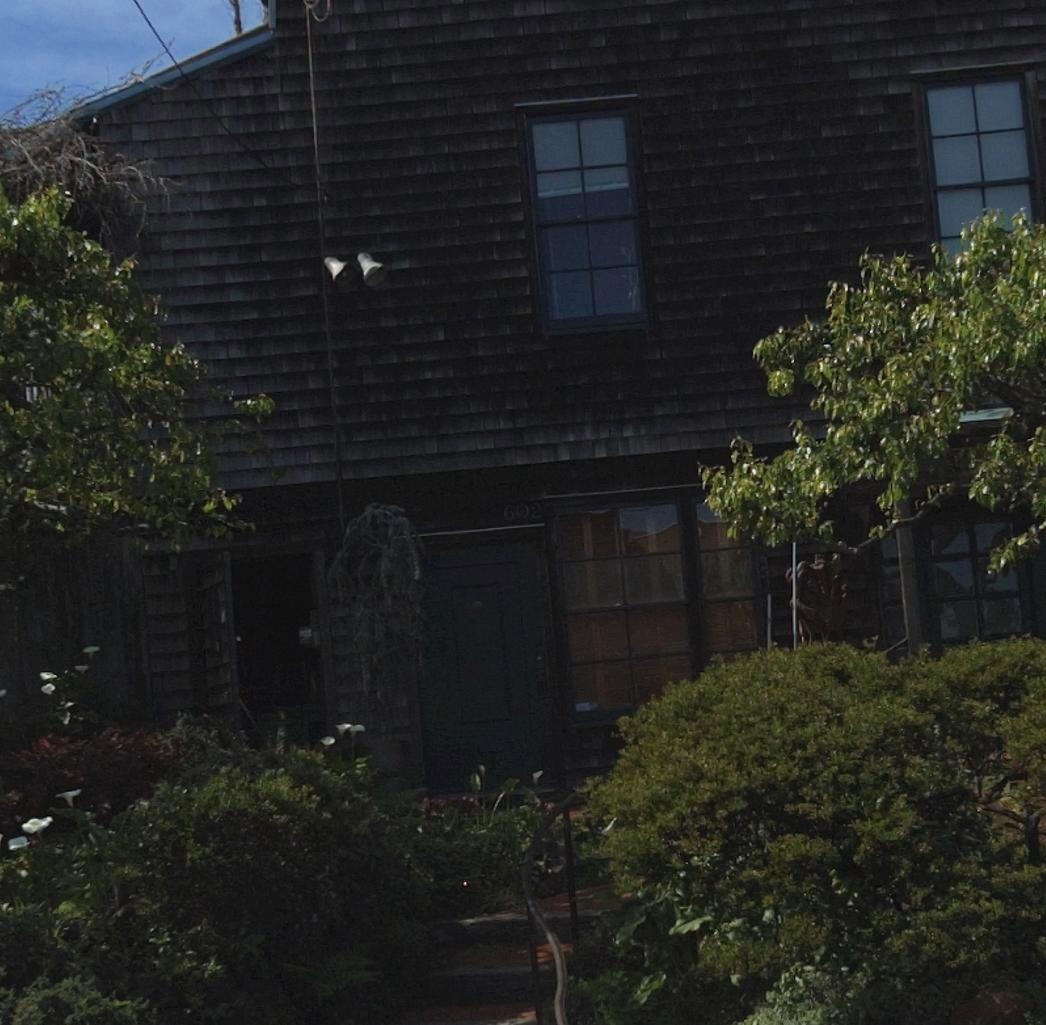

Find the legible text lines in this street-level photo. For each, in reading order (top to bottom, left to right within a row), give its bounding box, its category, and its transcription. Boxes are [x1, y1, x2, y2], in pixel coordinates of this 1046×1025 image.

[502, 502, 542, 521] StreetNumber: 602